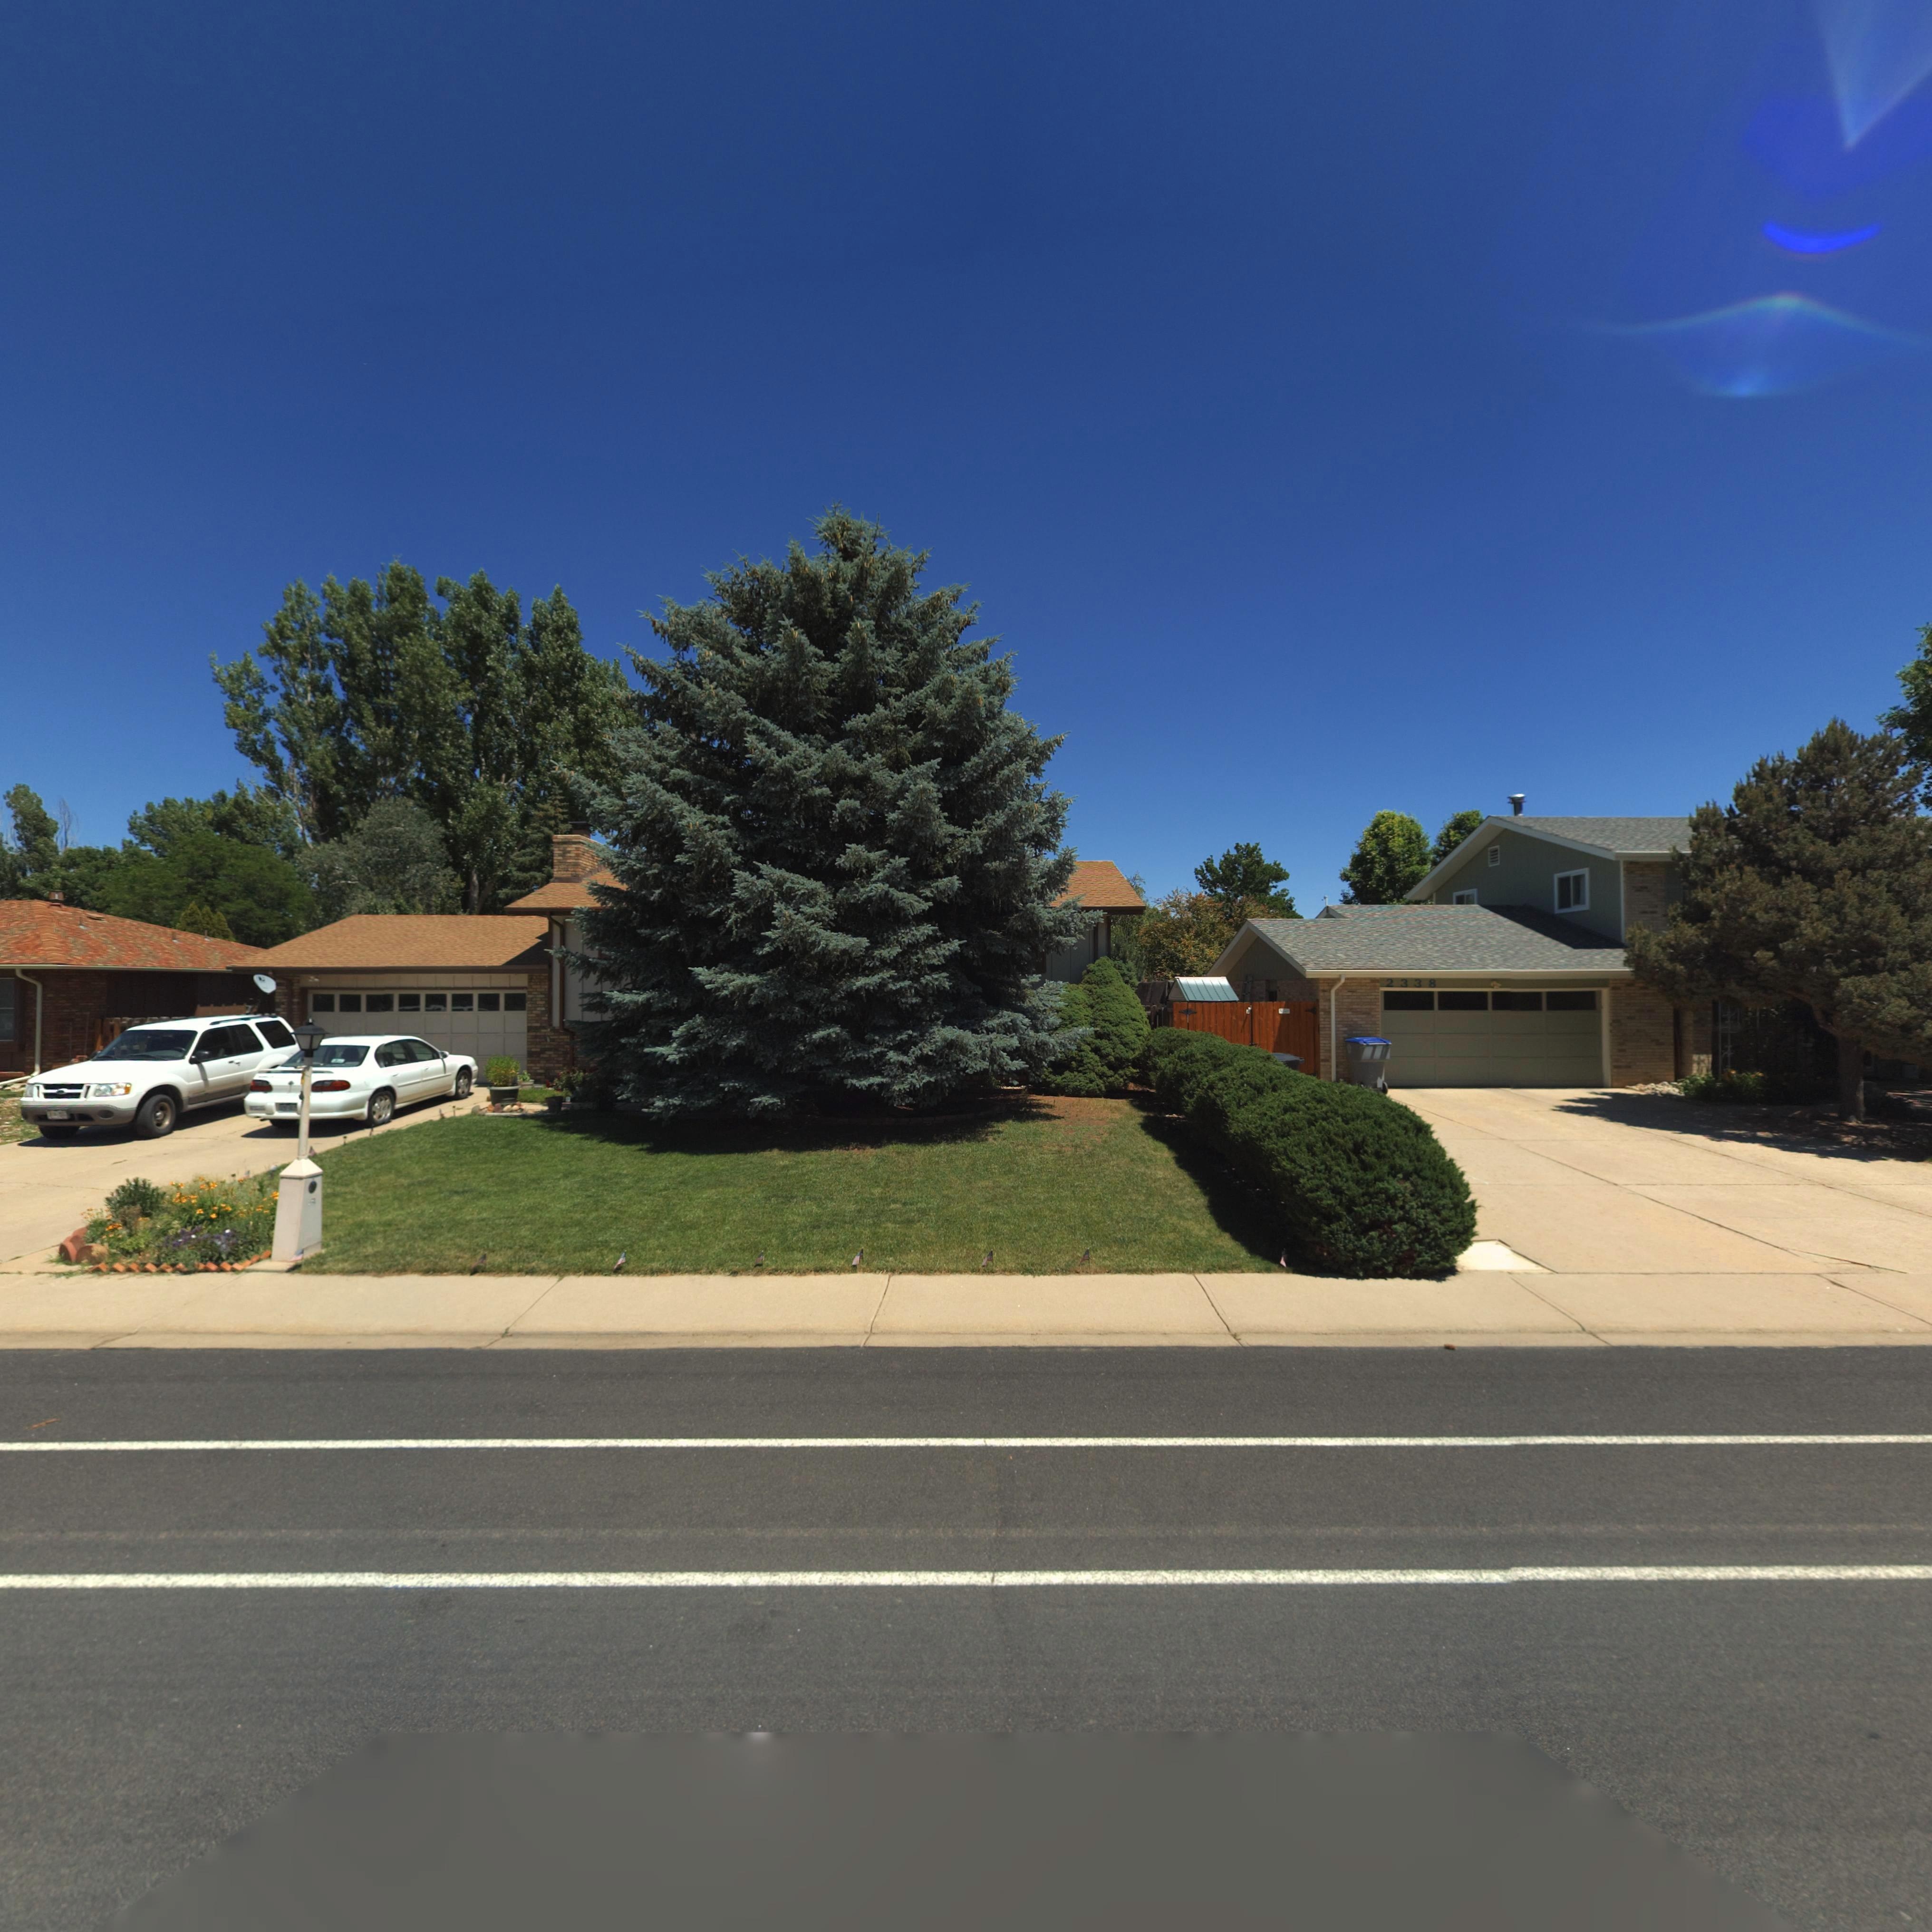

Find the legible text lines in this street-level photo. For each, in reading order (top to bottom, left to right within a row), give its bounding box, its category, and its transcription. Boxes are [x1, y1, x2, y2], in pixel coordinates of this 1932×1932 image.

[1386, 978, 1436, 988] StreetNumber: 2338